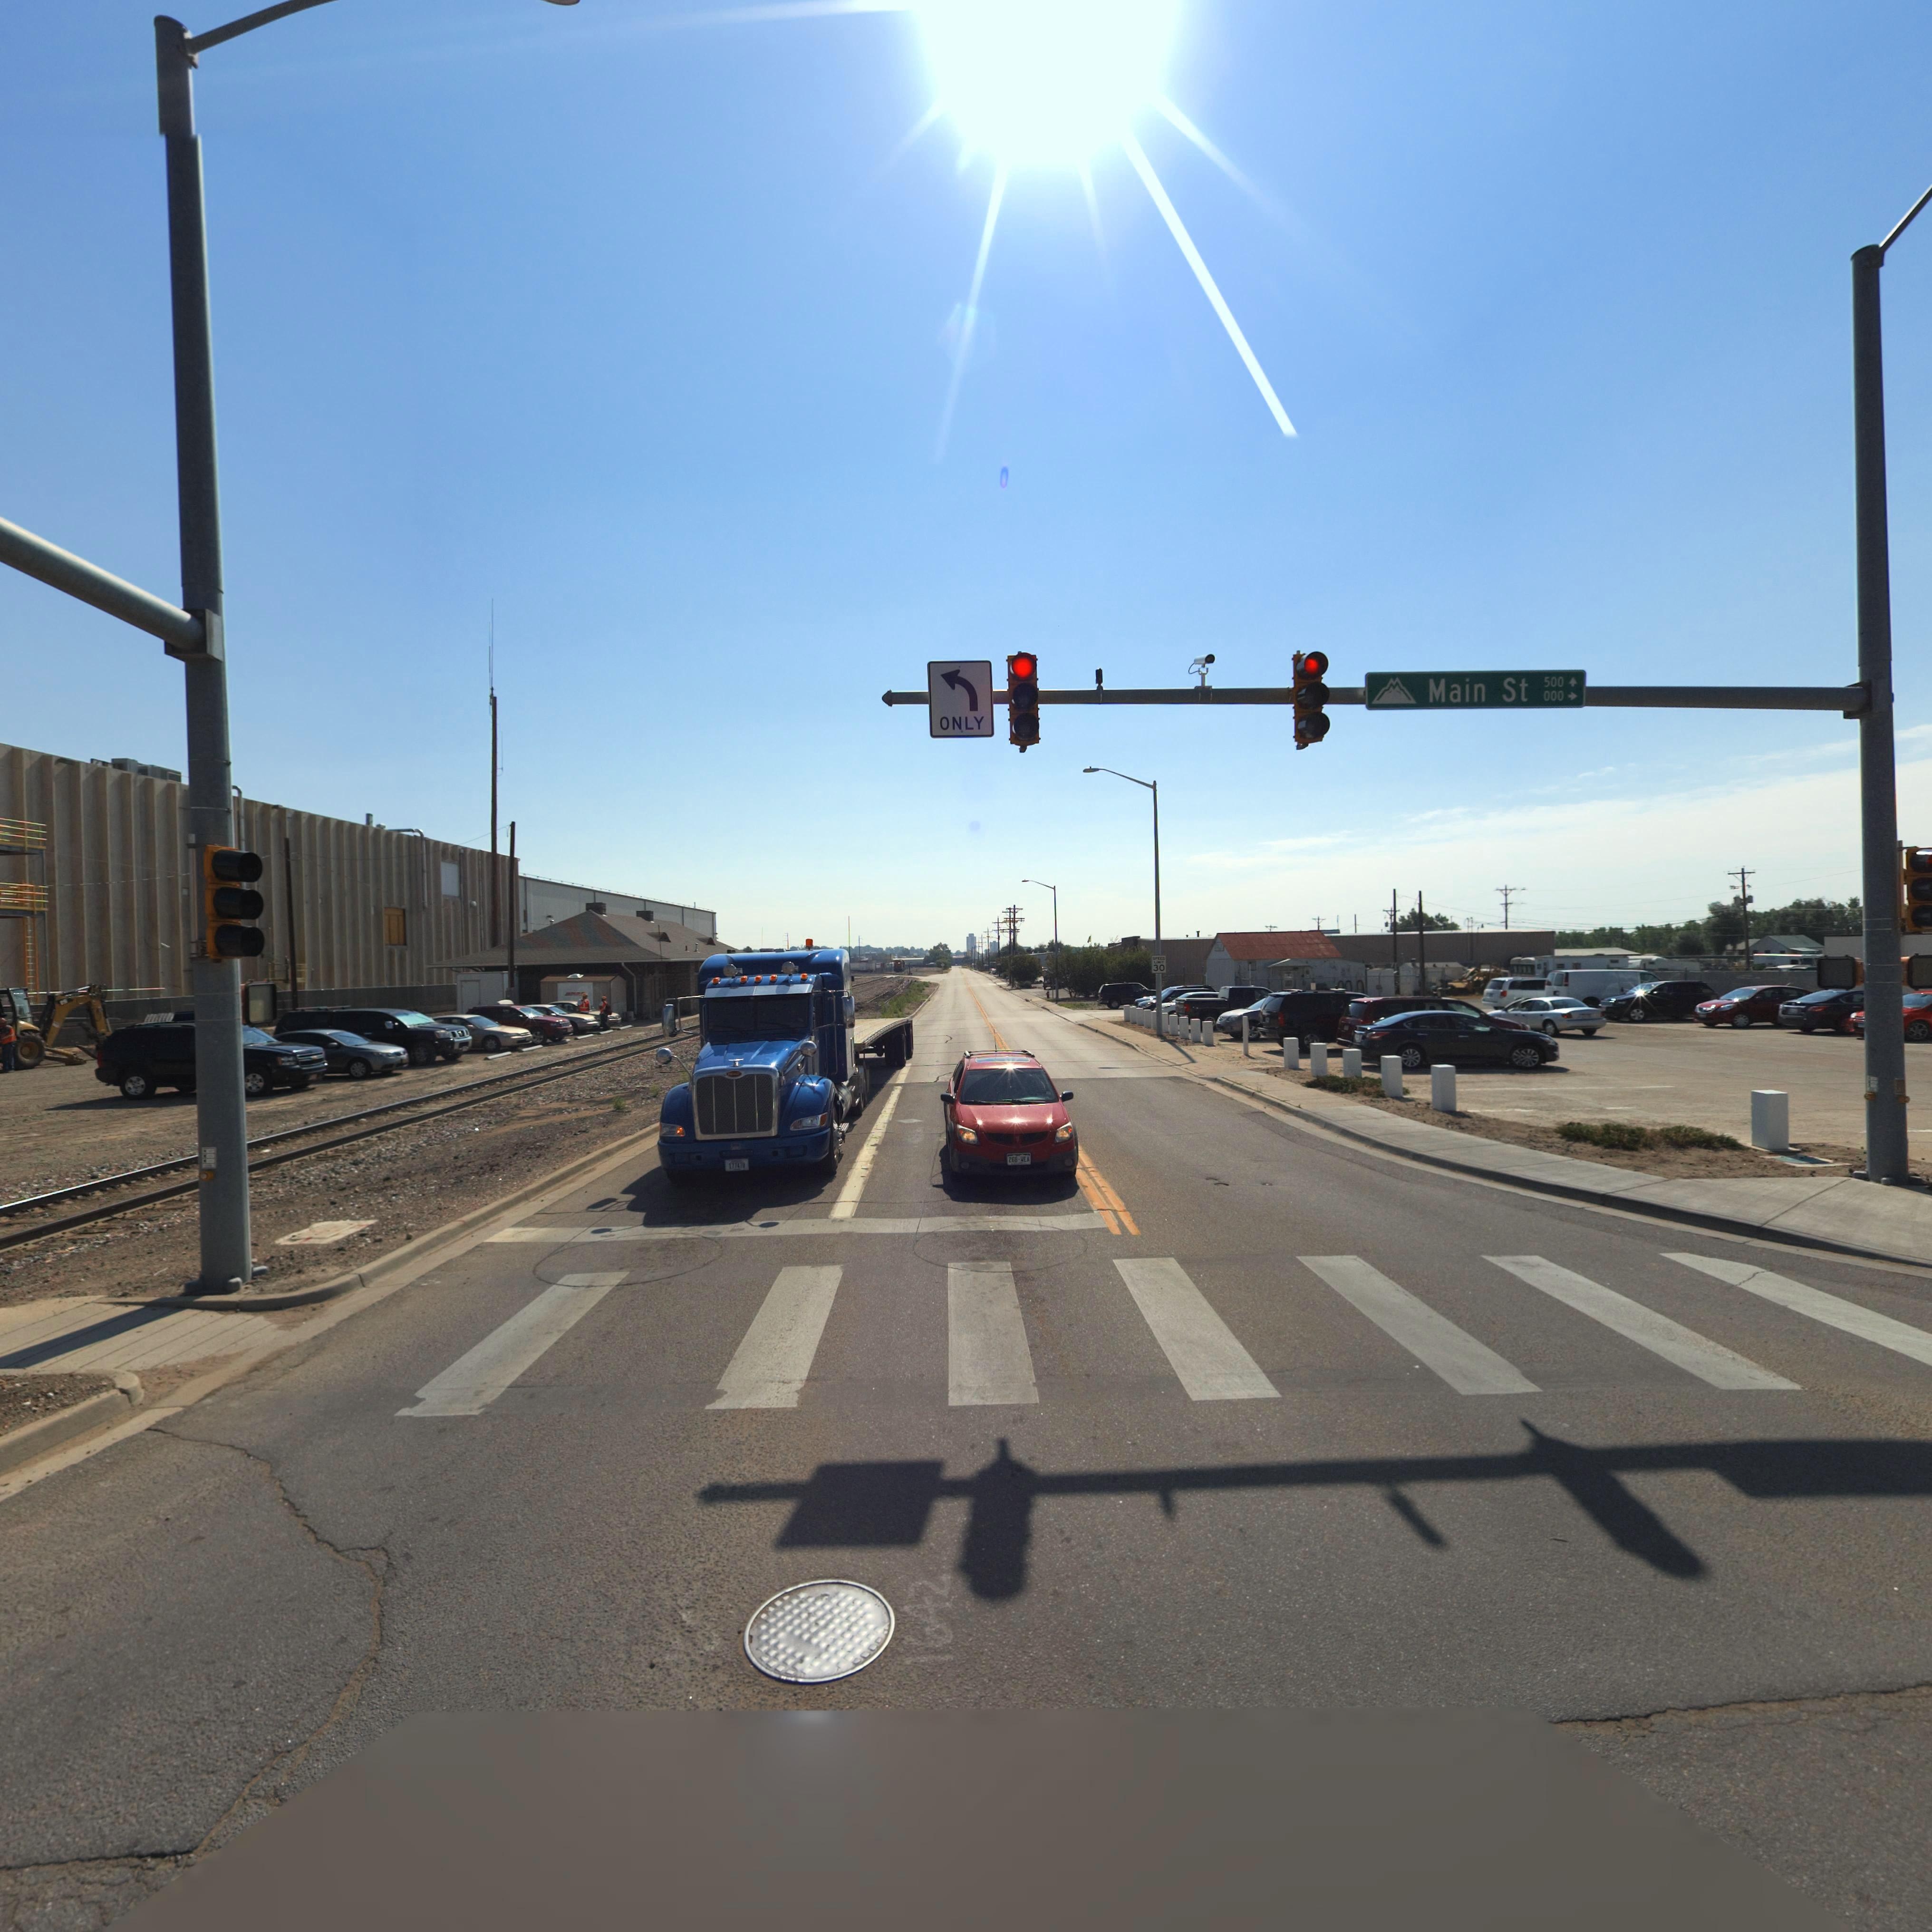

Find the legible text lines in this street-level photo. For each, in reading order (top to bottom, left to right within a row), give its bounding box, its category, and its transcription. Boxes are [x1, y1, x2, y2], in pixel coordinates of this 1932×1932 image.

[1543, 676, 1564, 688] StreetNumberRange: 500
[1428, 677, 1529, 703] StreetName: Main St
[1543, 690, 1578, 702] StreetNumberRange: 000 ->